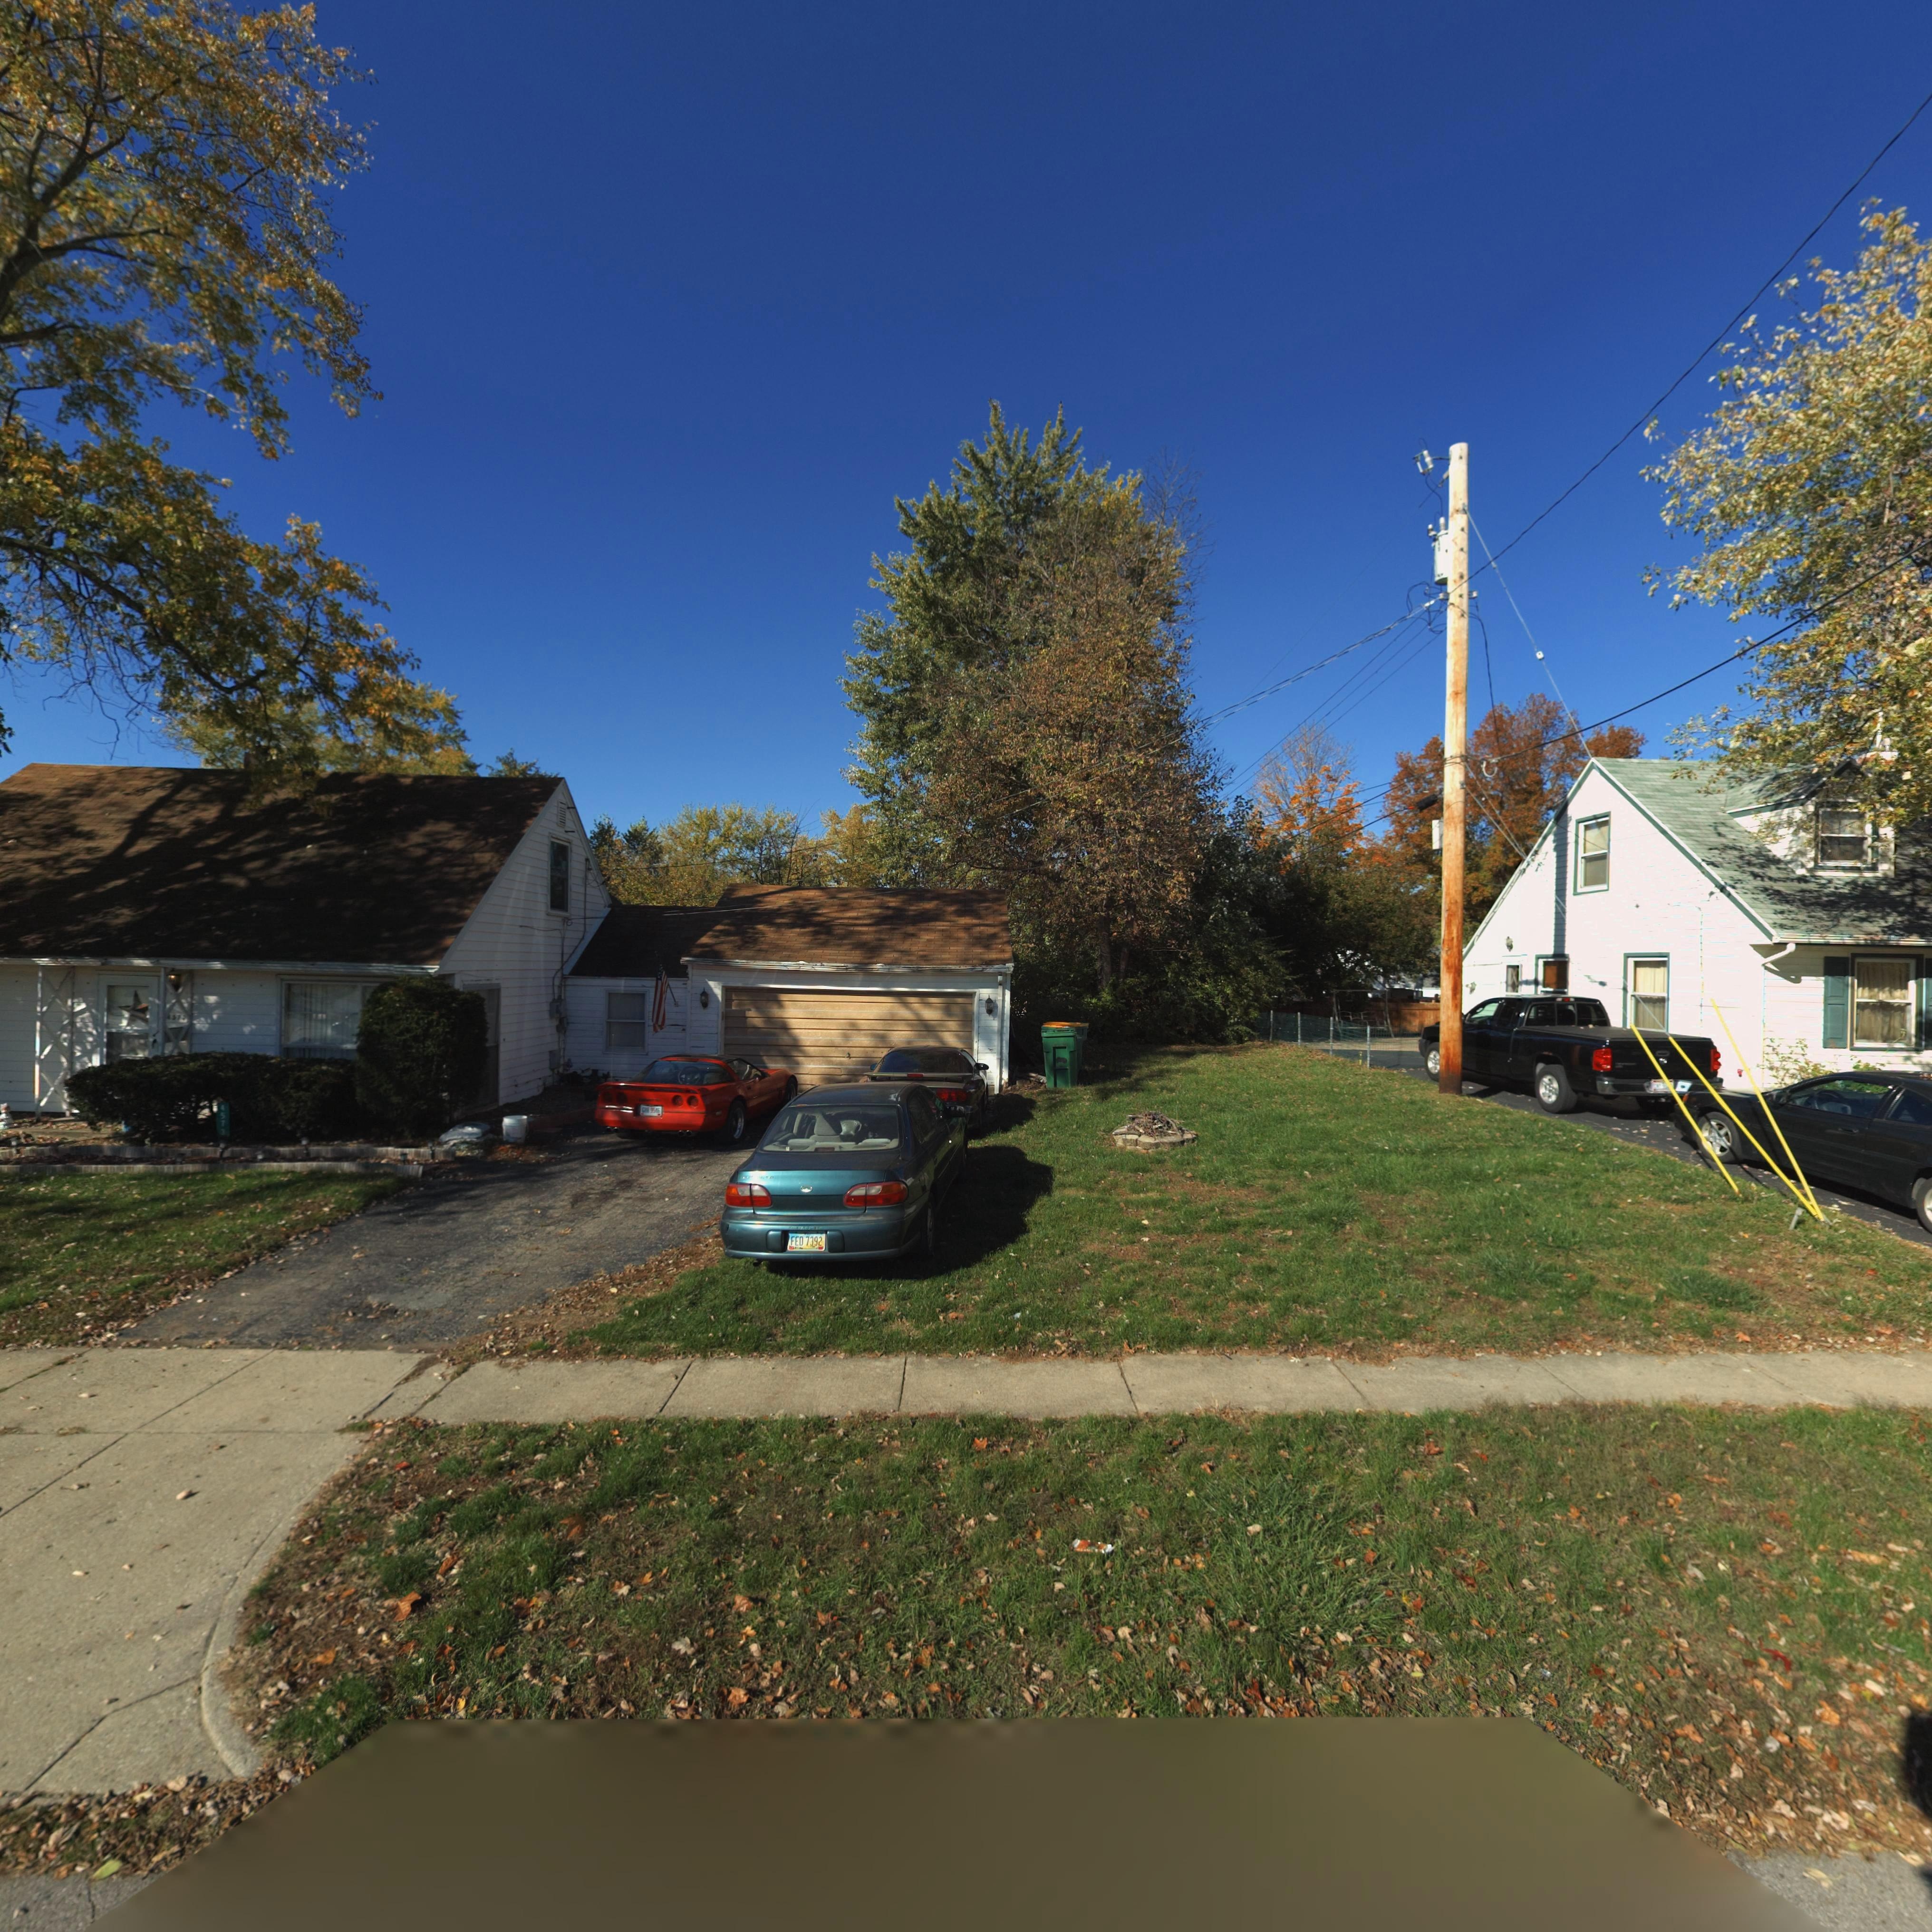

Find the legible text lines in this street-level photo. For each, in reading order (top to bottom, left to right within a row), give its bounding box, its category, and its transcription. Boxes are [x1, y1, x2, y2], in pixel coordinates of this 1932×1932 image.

[166, 1014, 187, 1021] StreetNumber: *5**